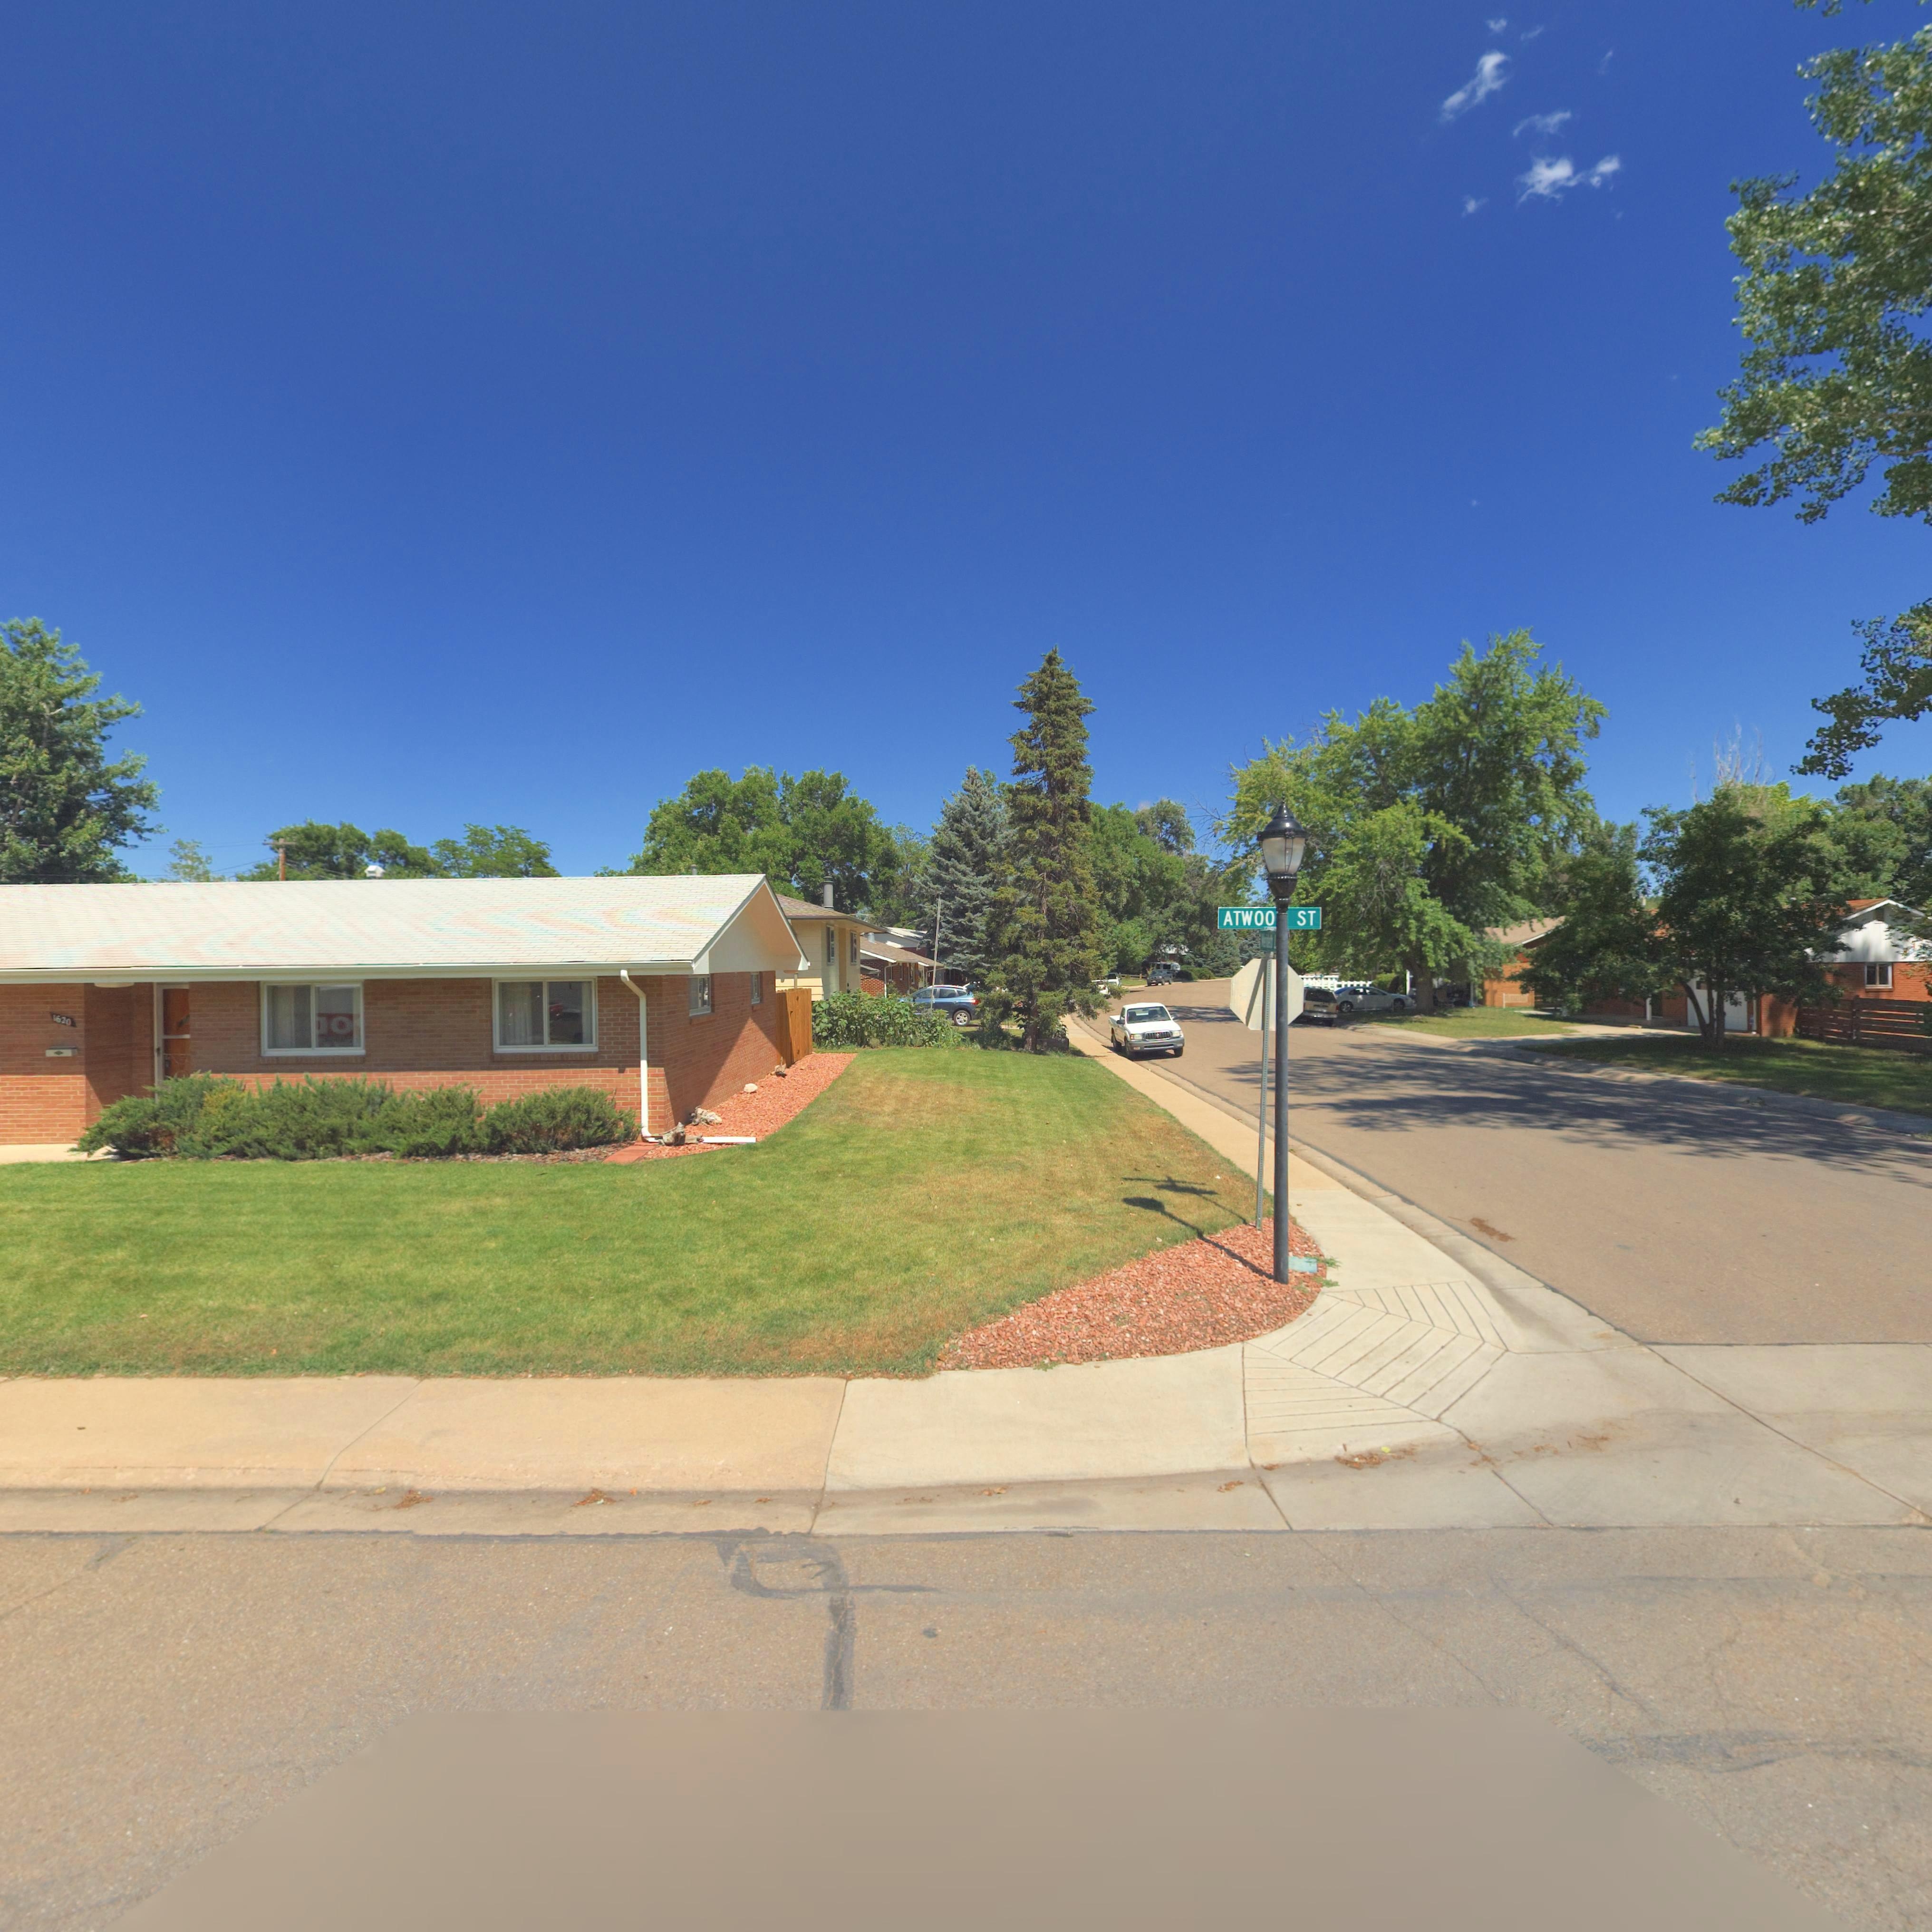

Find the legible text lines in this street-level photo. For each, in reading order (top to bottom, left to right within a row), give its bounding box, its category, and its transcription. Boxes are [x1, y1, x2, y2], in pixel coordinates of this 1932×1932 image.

[1222, 909, 1316, 926] StreetName: ATWOO* ST
[1260, 933, 1277, 949] StreetName: *e*d**** L
[52, 1013, 71, 1027] StreetNumber: 1620